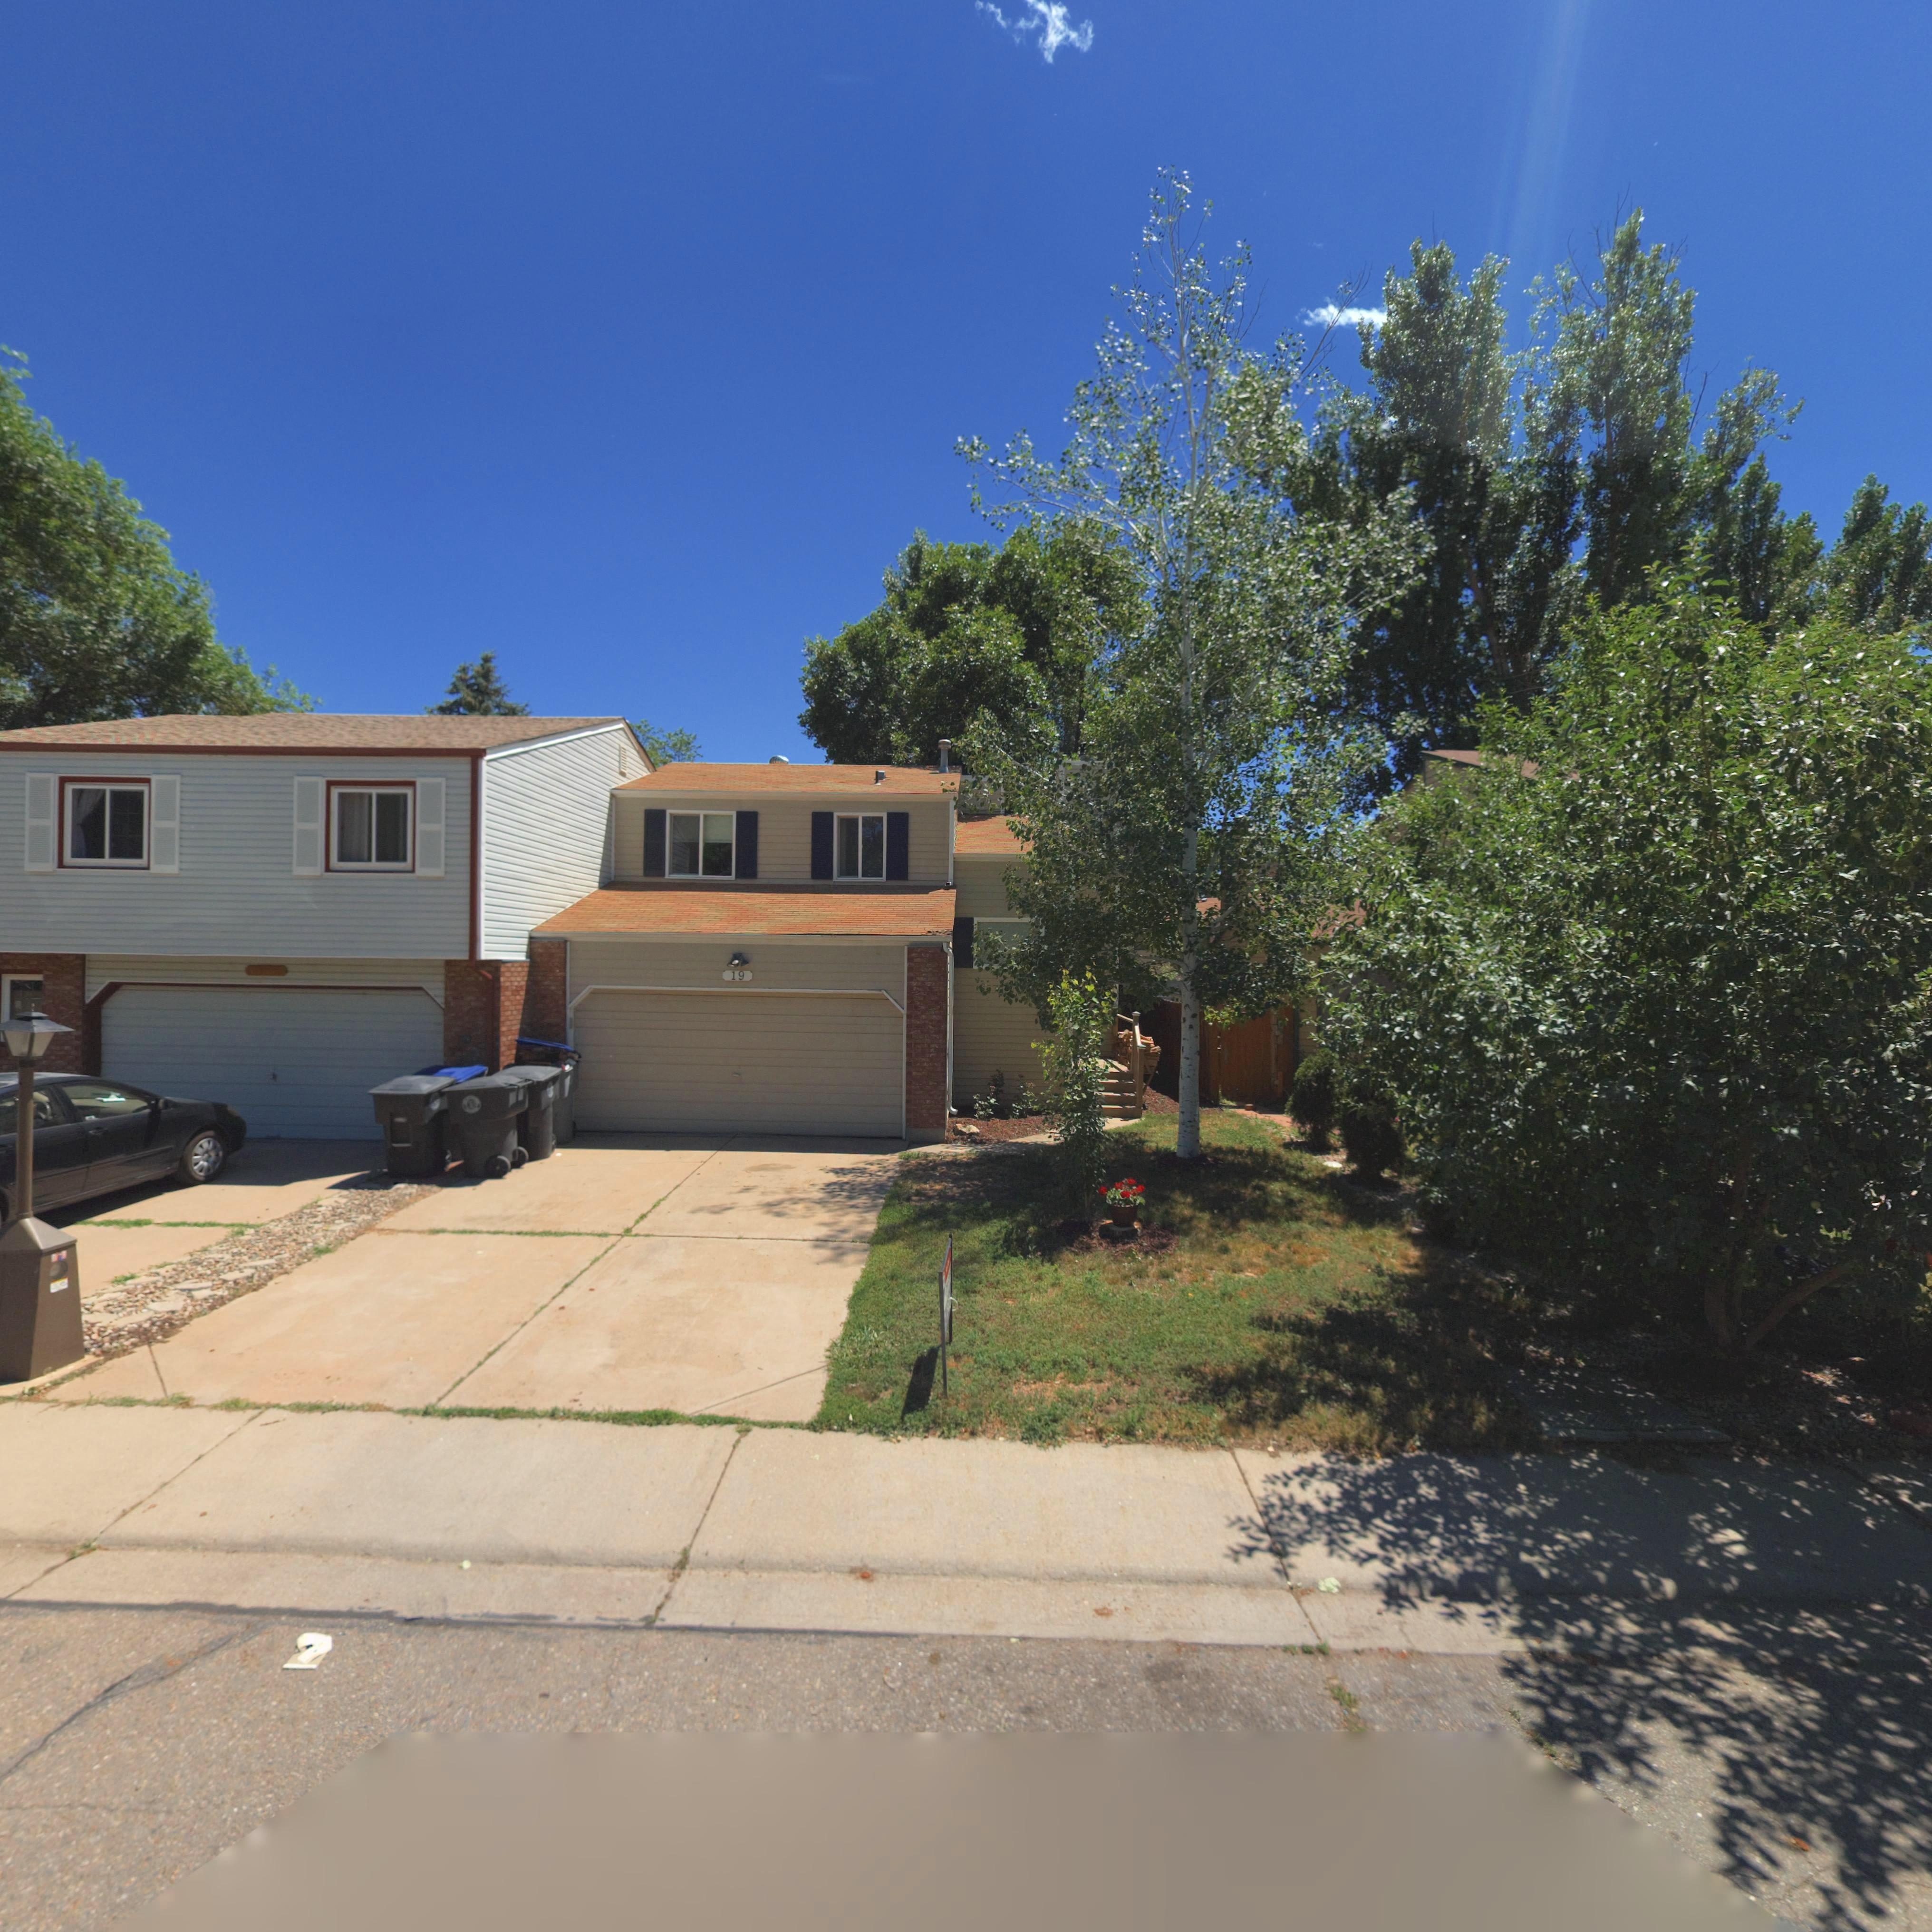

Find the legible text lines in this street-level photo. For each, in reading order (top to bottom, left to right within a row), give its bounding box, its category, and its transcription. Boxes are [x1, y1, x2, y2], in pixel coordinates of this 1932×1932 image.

[731, 970, 744, 980] StreetNumber: 19